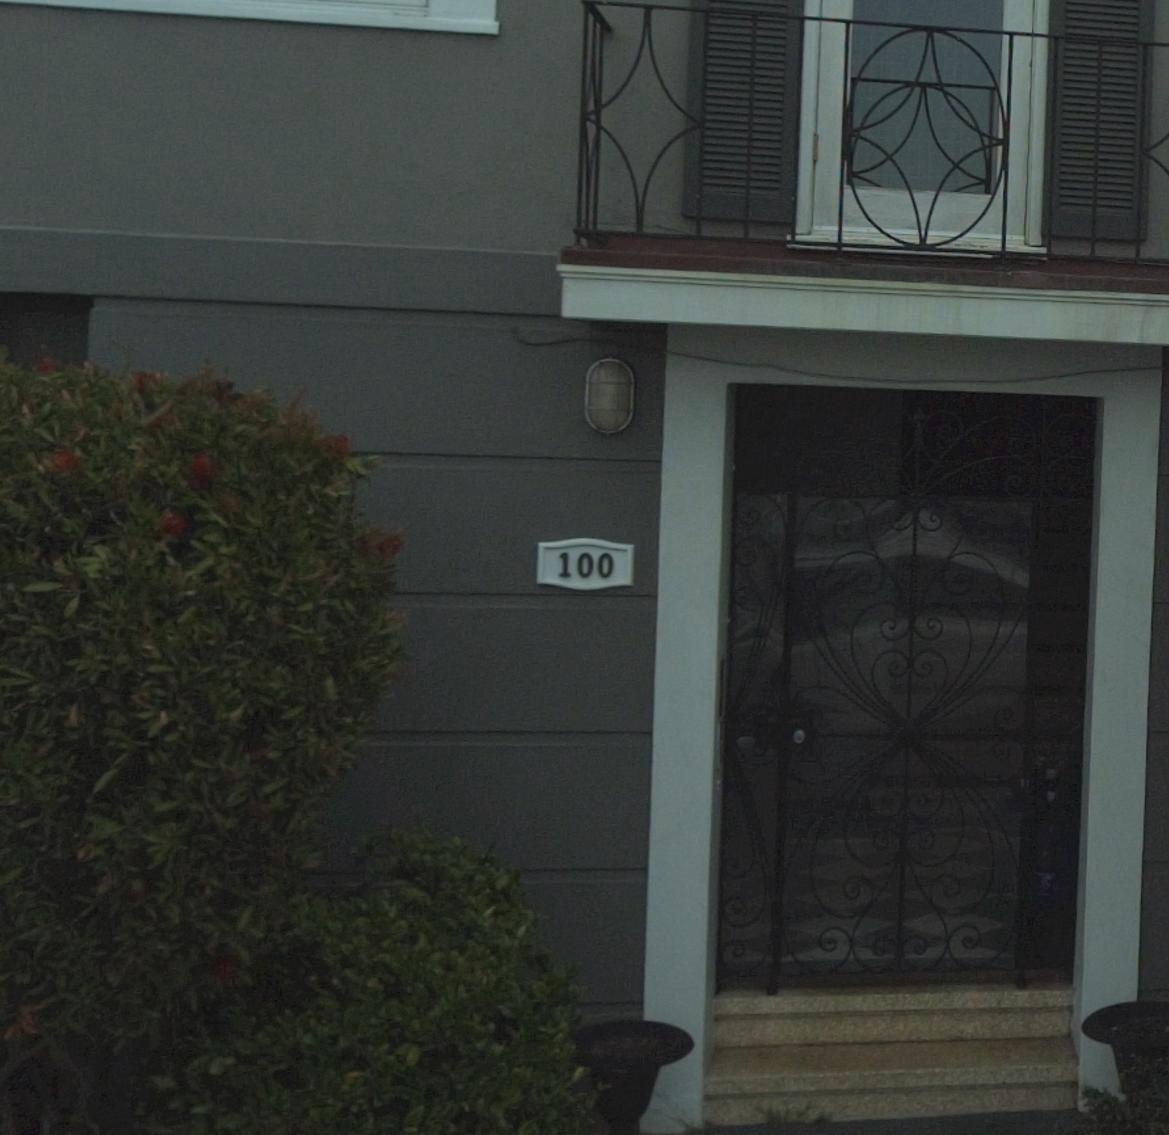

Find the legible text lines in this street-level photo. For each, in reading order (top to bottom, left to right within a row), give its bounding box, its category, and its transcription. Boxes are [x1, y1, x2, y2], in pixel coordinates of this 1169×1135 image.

[557, 548, 616, 582] StreetNumber: 100